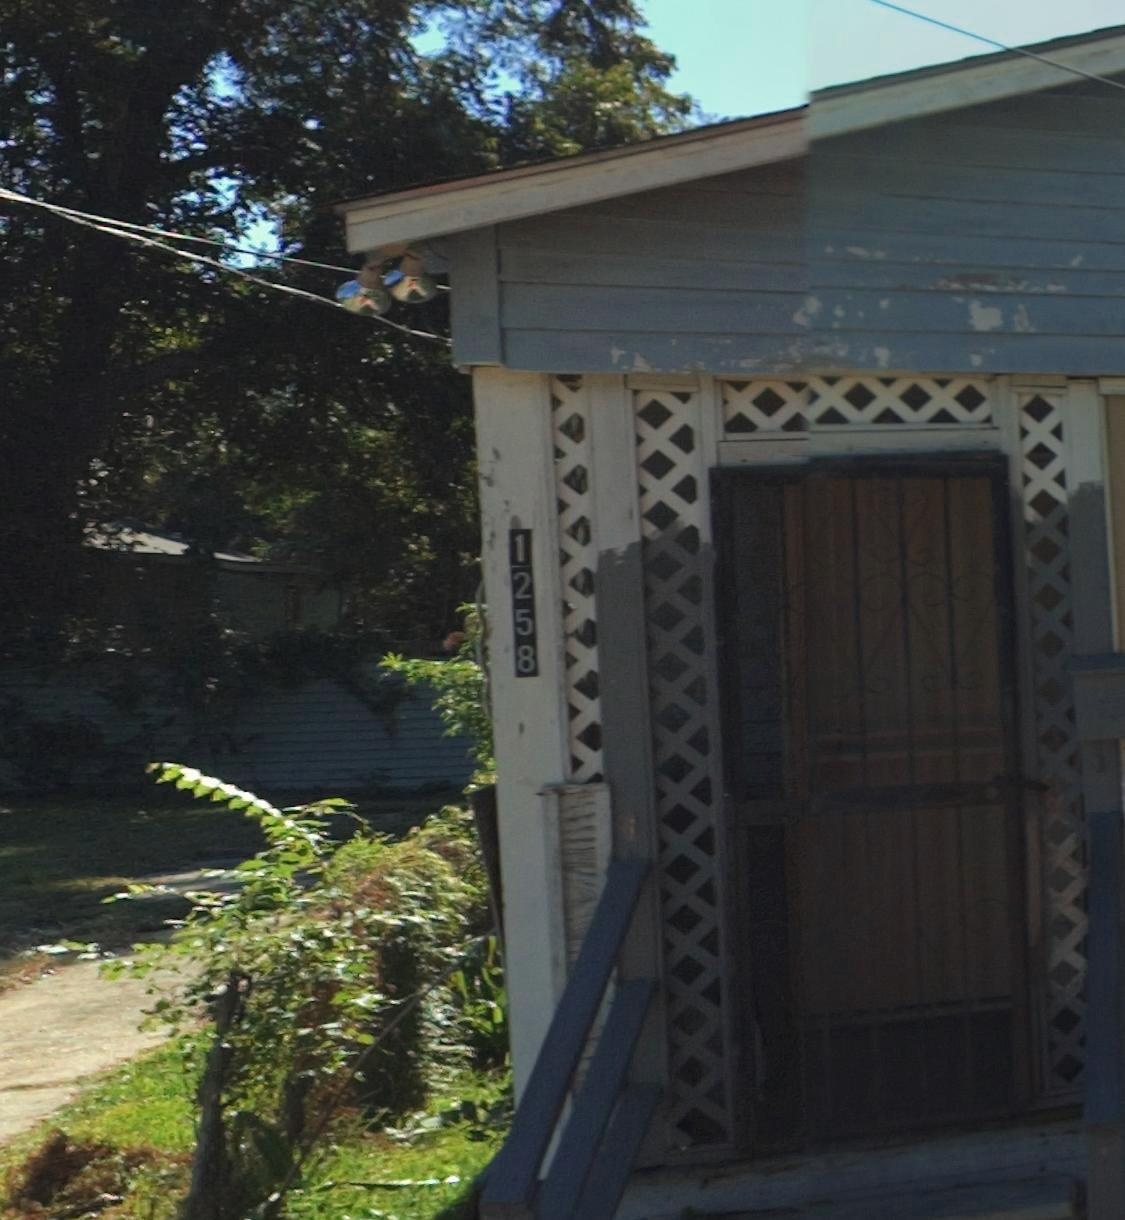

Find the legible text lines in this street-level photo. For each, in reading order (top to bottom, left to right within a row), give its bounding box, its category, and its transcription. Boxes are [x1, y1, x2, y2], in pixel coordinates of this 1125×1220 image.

[510, 530, 538, 678] StreetNumber: 1258